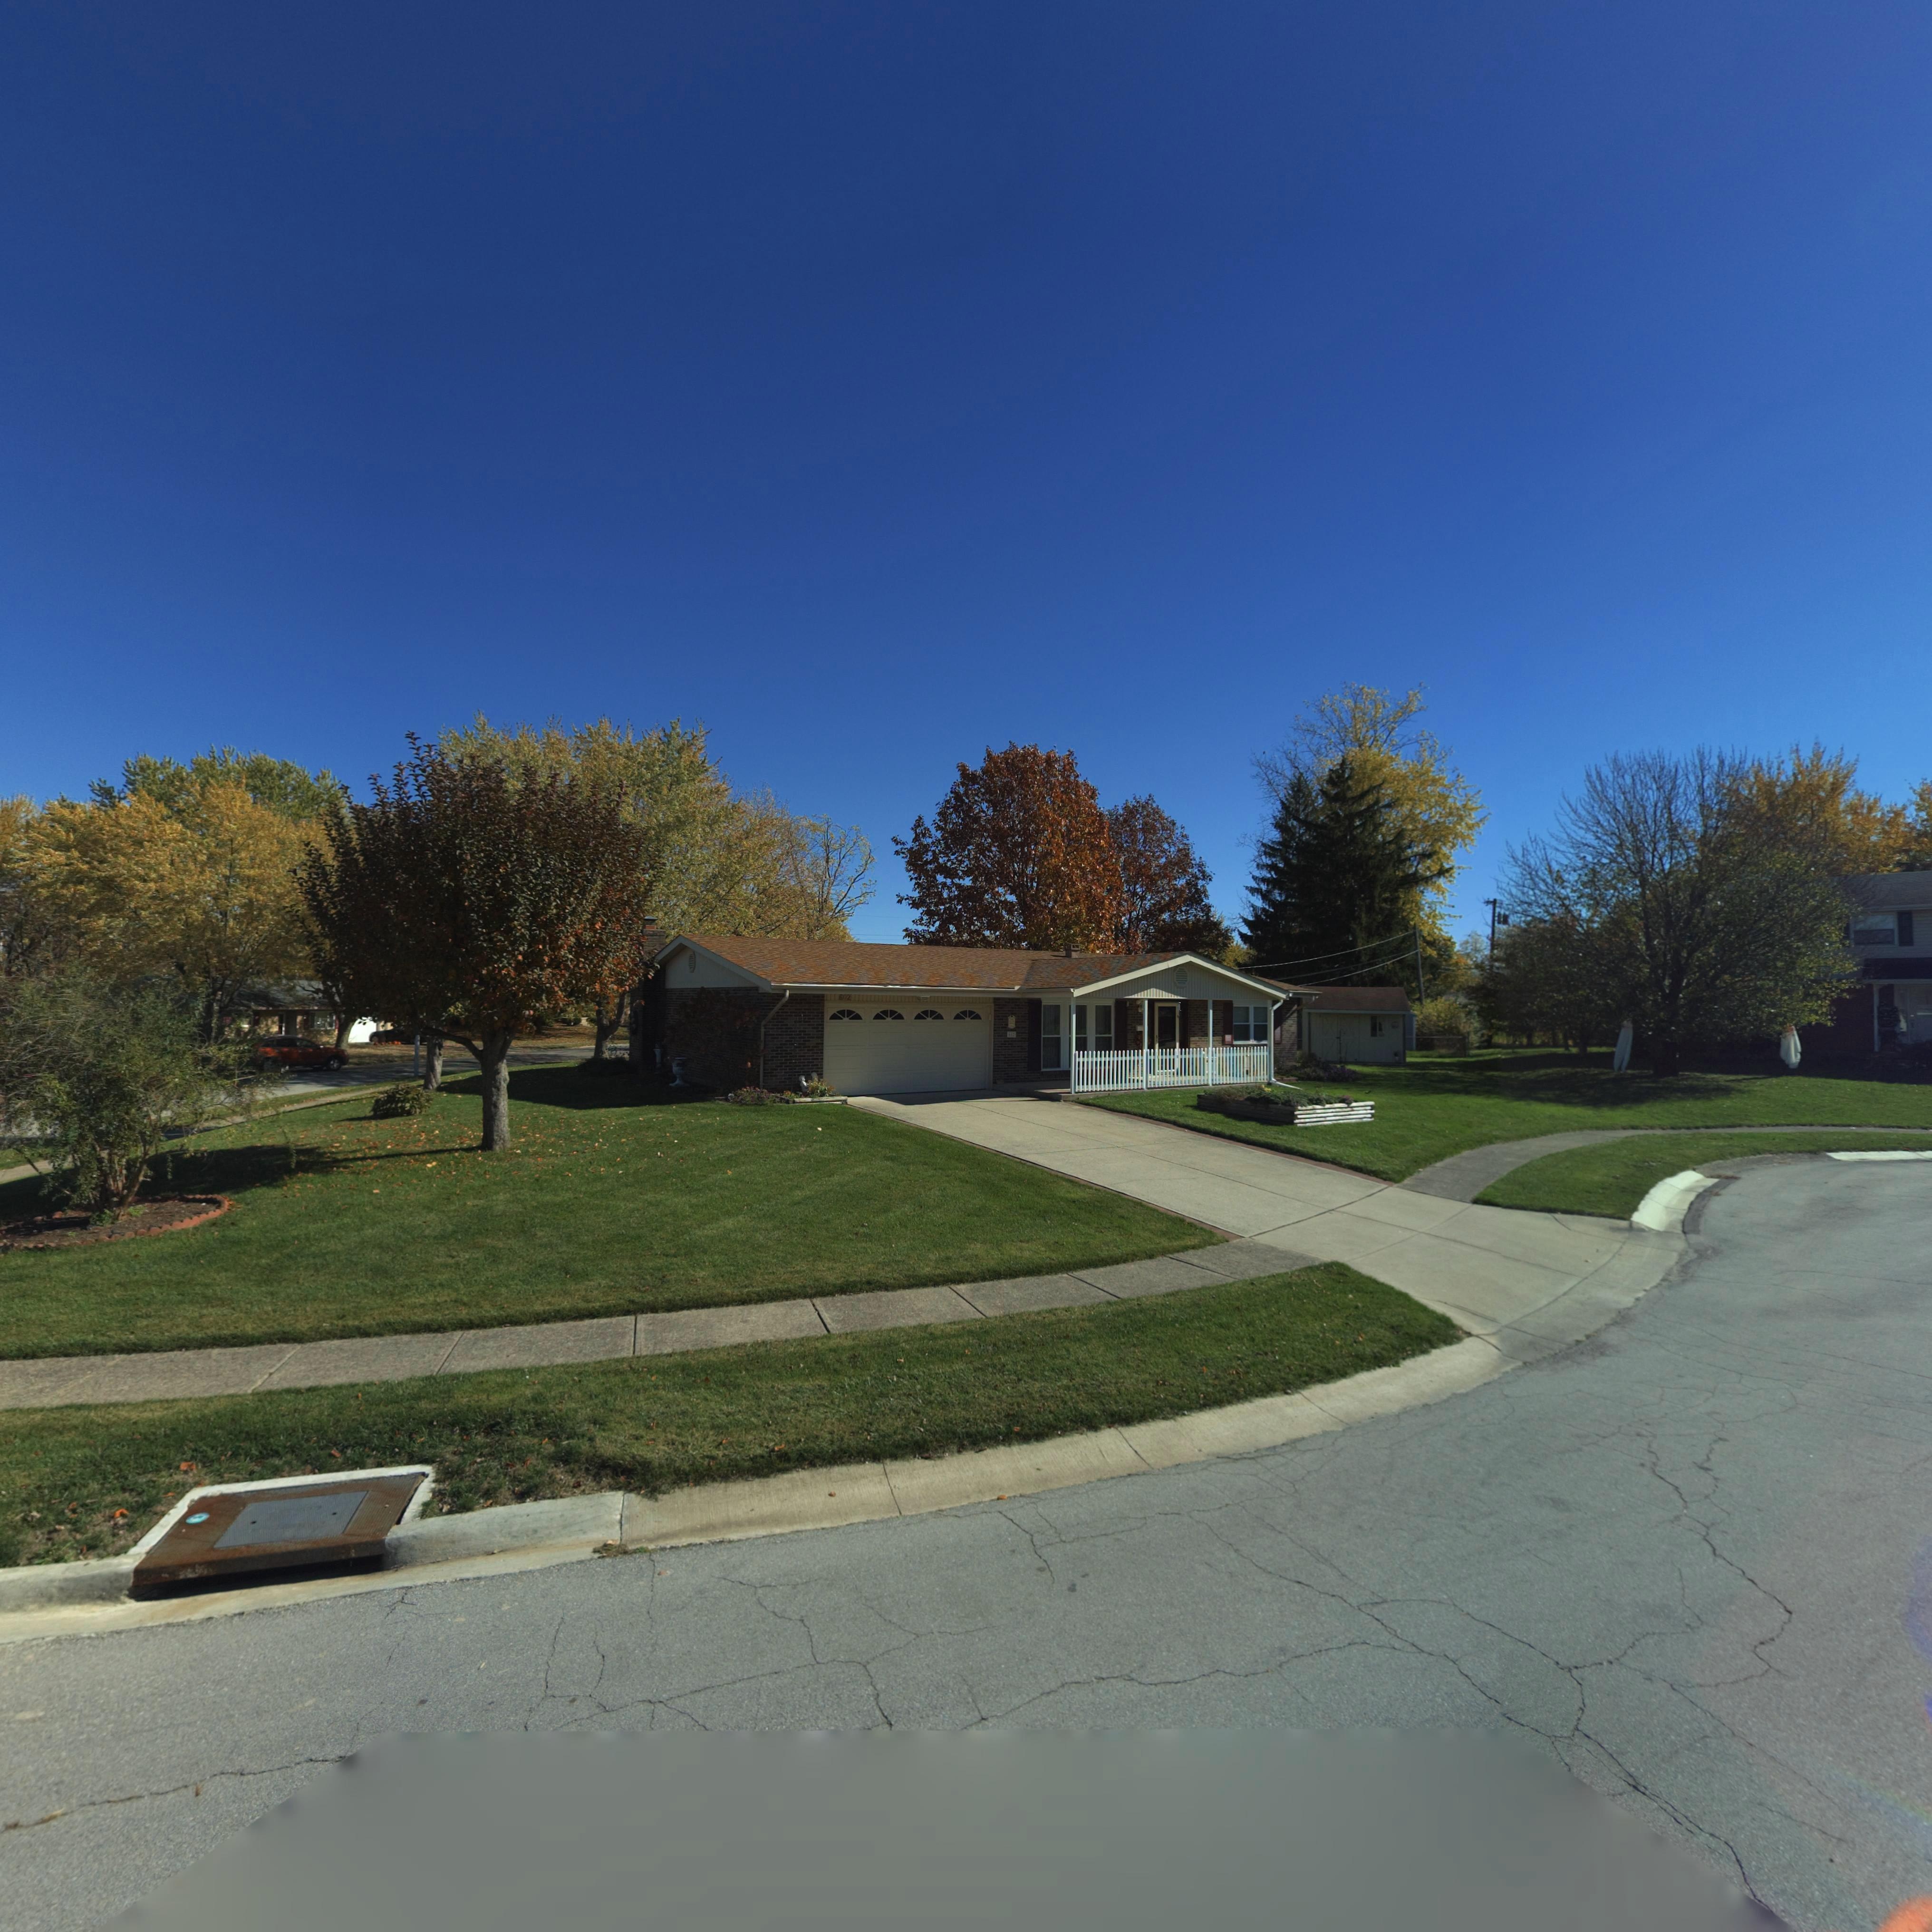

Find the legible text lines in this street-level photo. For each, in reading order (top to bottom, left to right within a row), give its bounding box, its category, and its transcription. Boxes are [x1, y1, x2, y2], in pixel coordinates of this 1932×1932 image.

[839, 994, 851, 1001] StreetNumber: 602
[1008, 1032, 1015, 1037] StreetNumber: *02